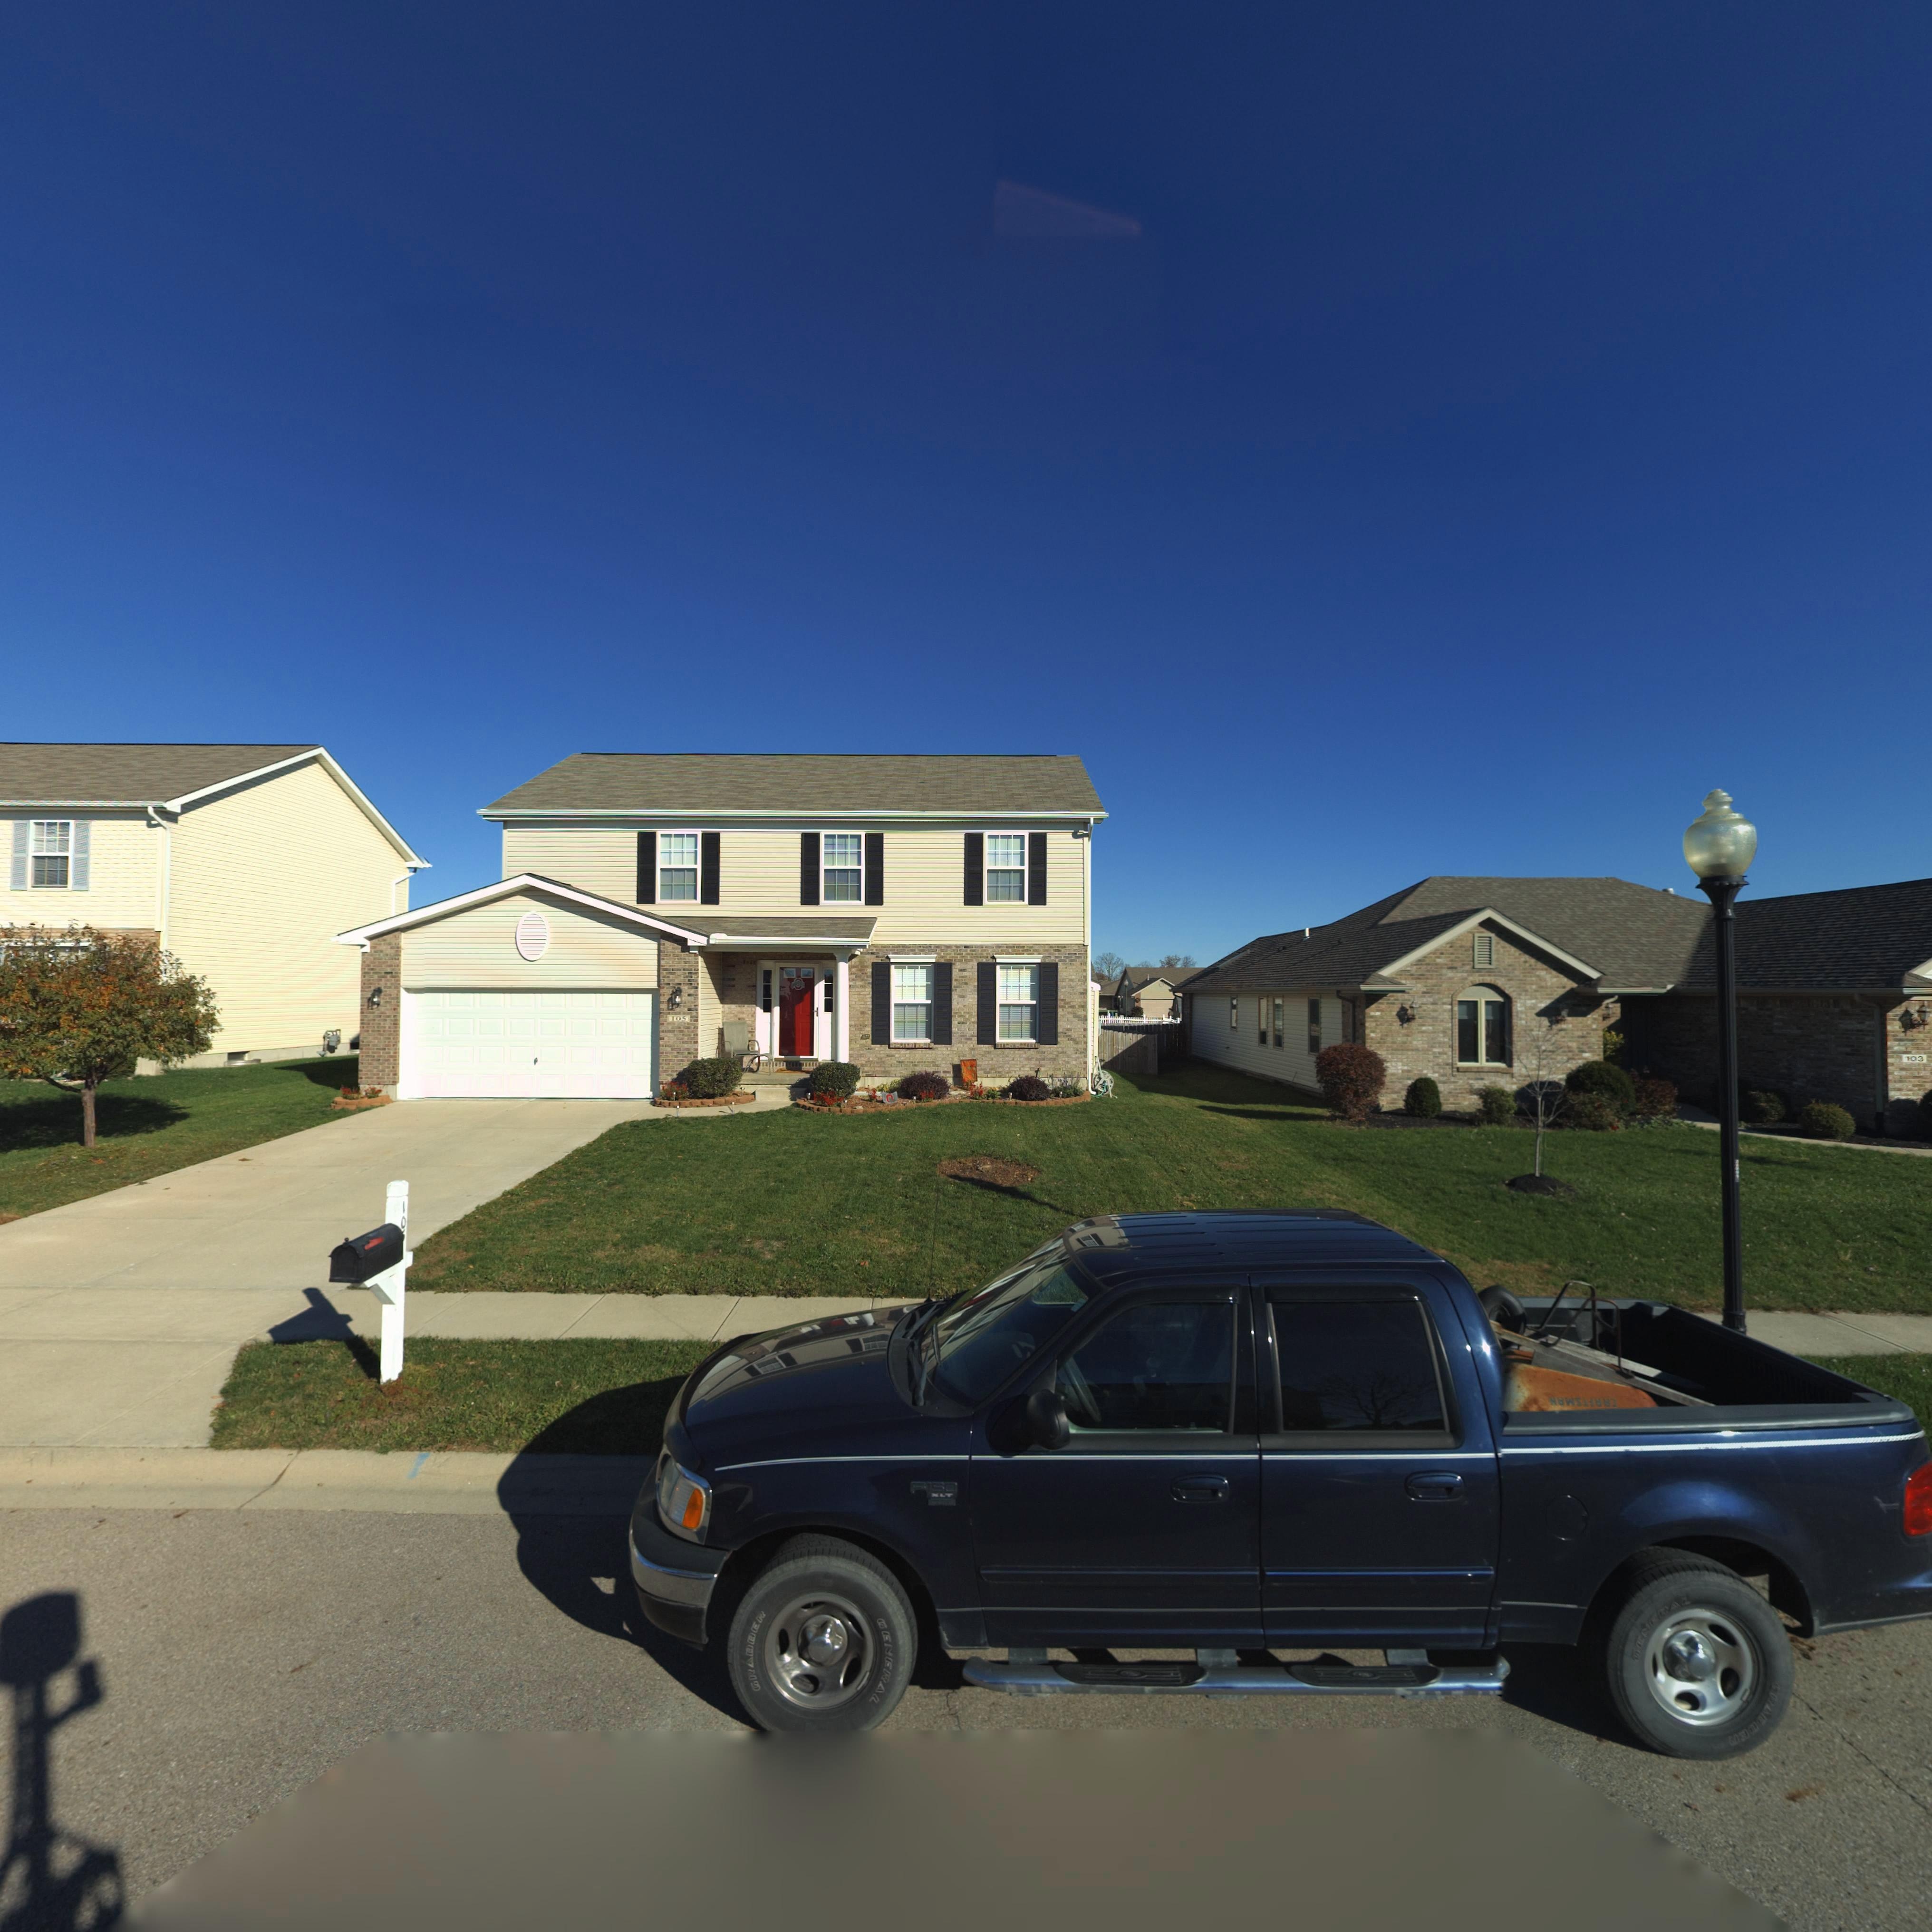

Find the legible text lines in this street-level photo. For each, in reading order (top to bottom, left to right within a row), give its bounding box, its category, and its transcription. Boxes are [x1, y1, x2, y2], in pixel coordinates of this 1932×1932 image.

[671, 1015, 687, 1023] StreetNumber: 105
[1903, 1054, 1925, 1063] StreetNumber: 103
[399, 1199, 407, 1231] StreetNumber: 10